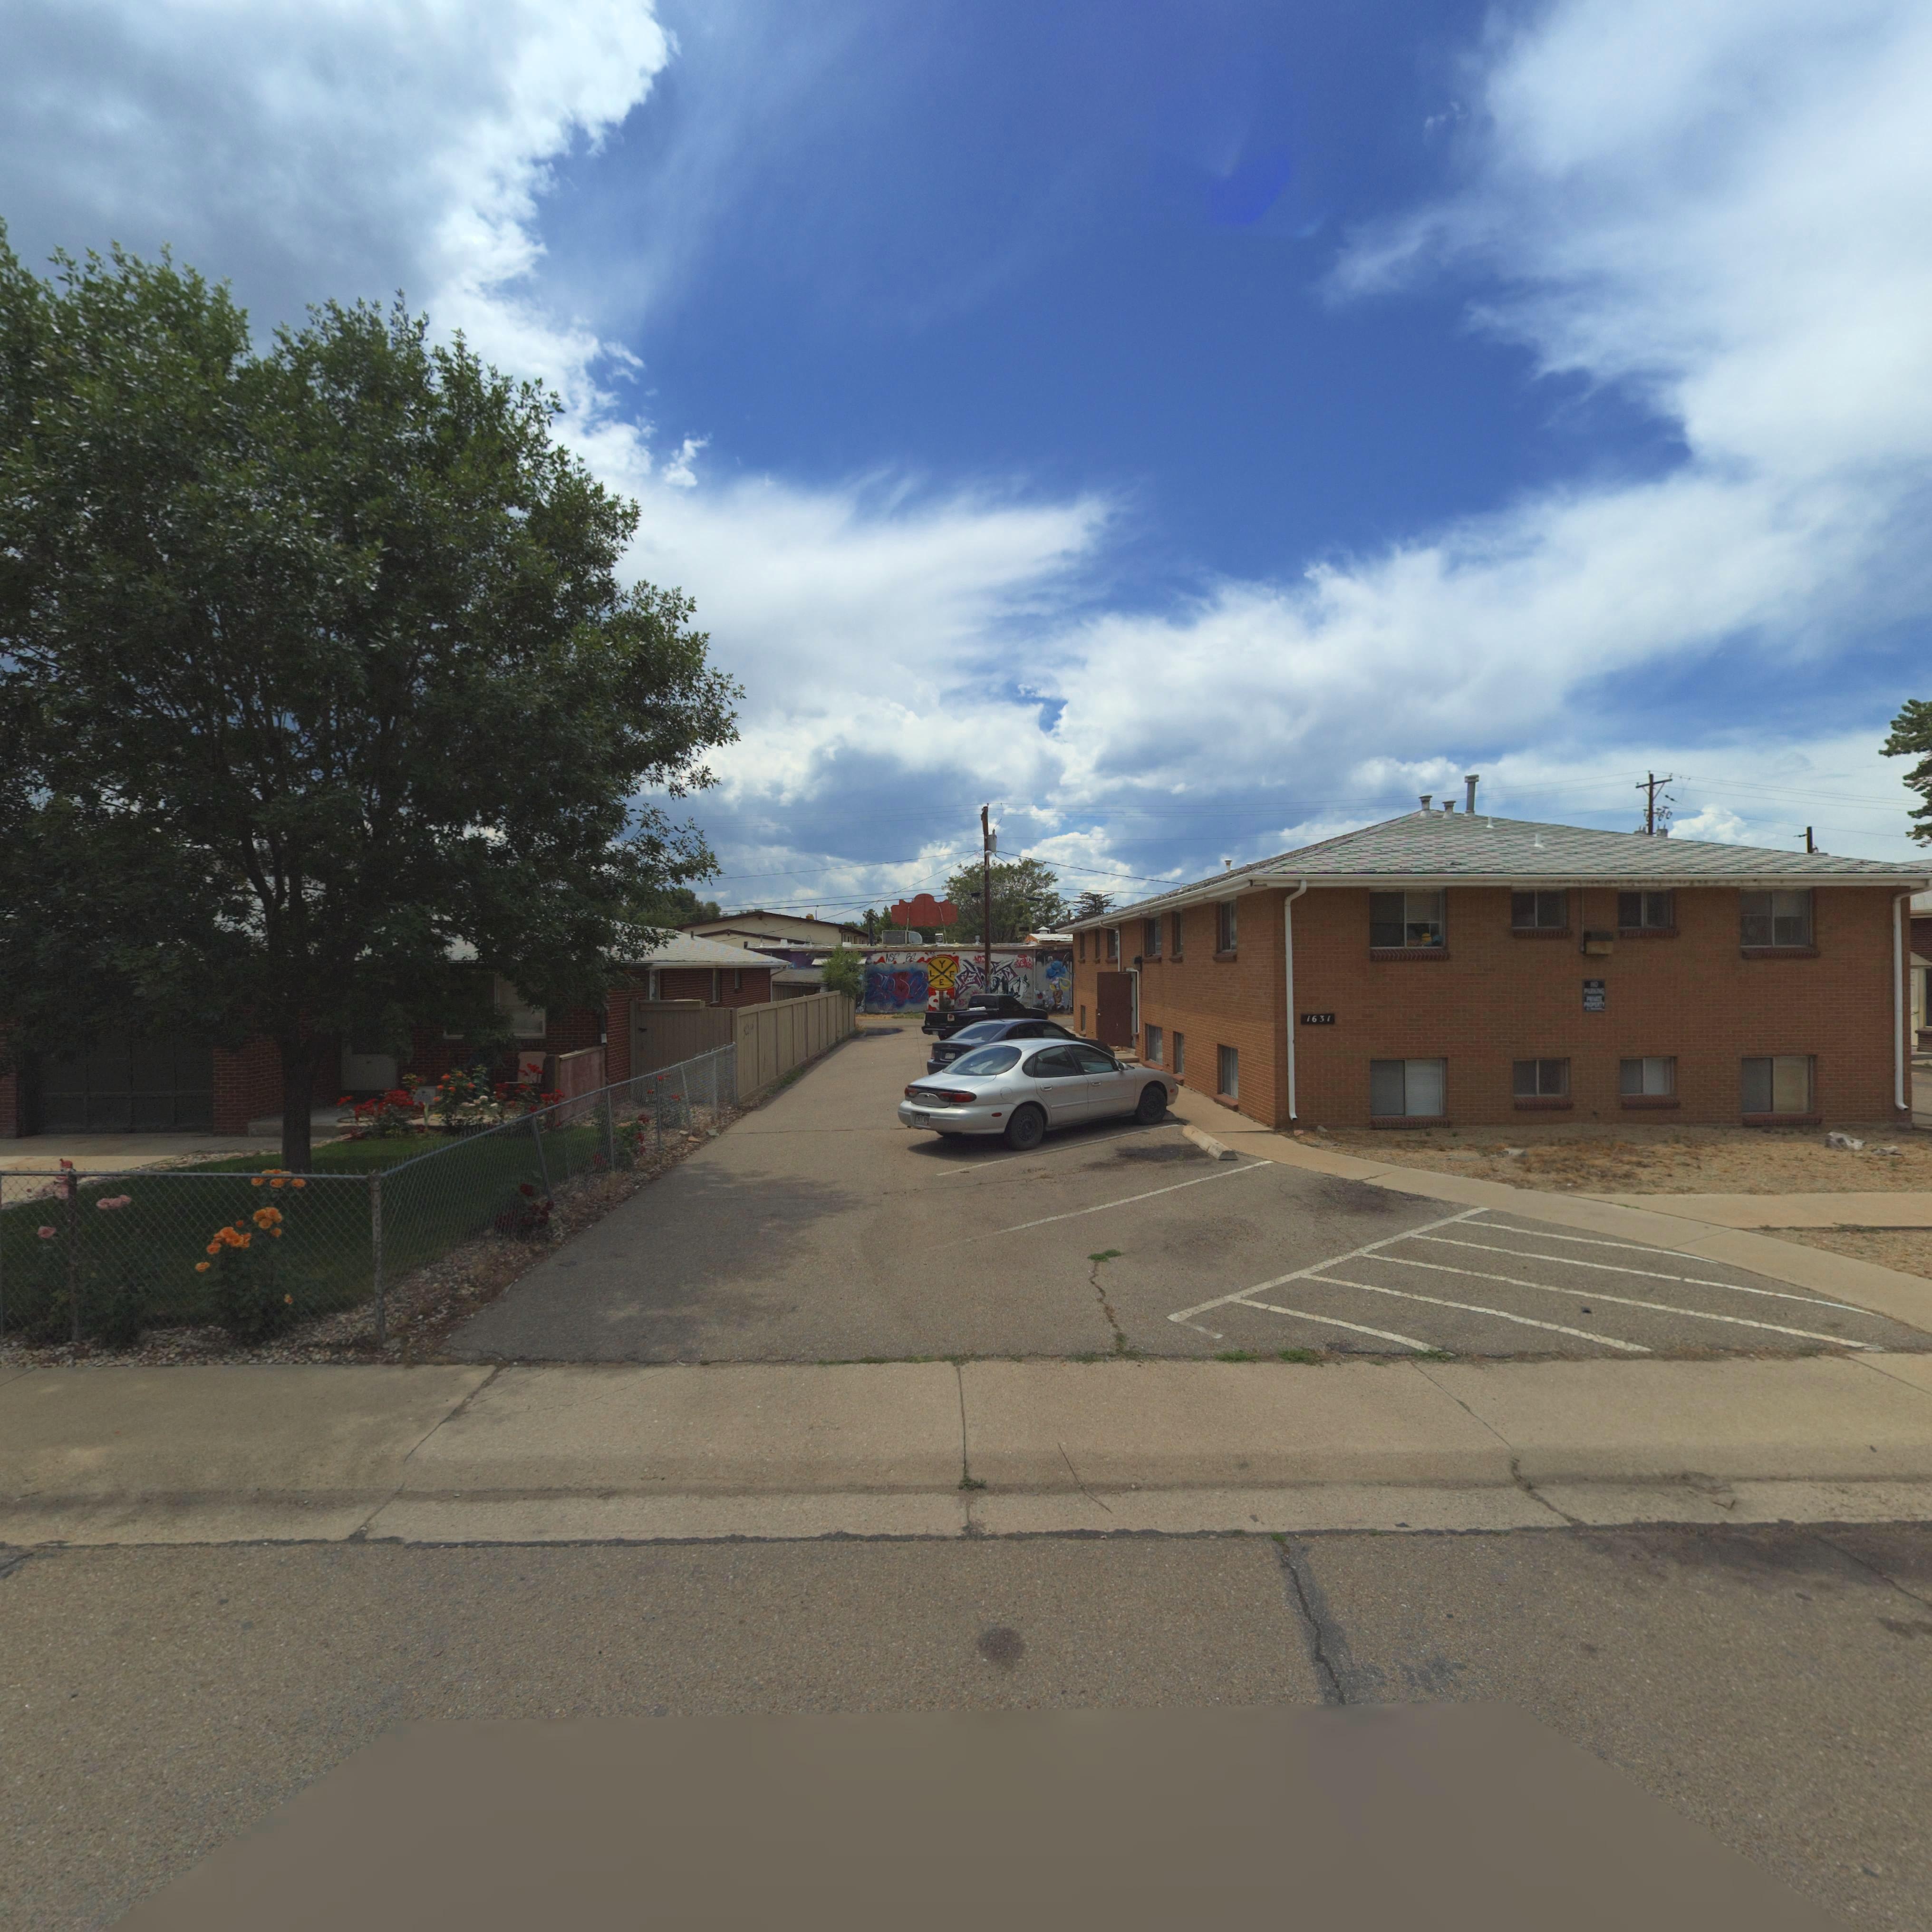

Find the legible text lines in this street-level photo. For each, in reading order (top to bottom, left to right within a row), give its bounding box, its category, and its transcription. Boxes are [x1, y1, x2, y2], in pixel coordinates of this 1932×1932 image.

[1306, 1014, 1331, 1023] StreetNumber: 1631